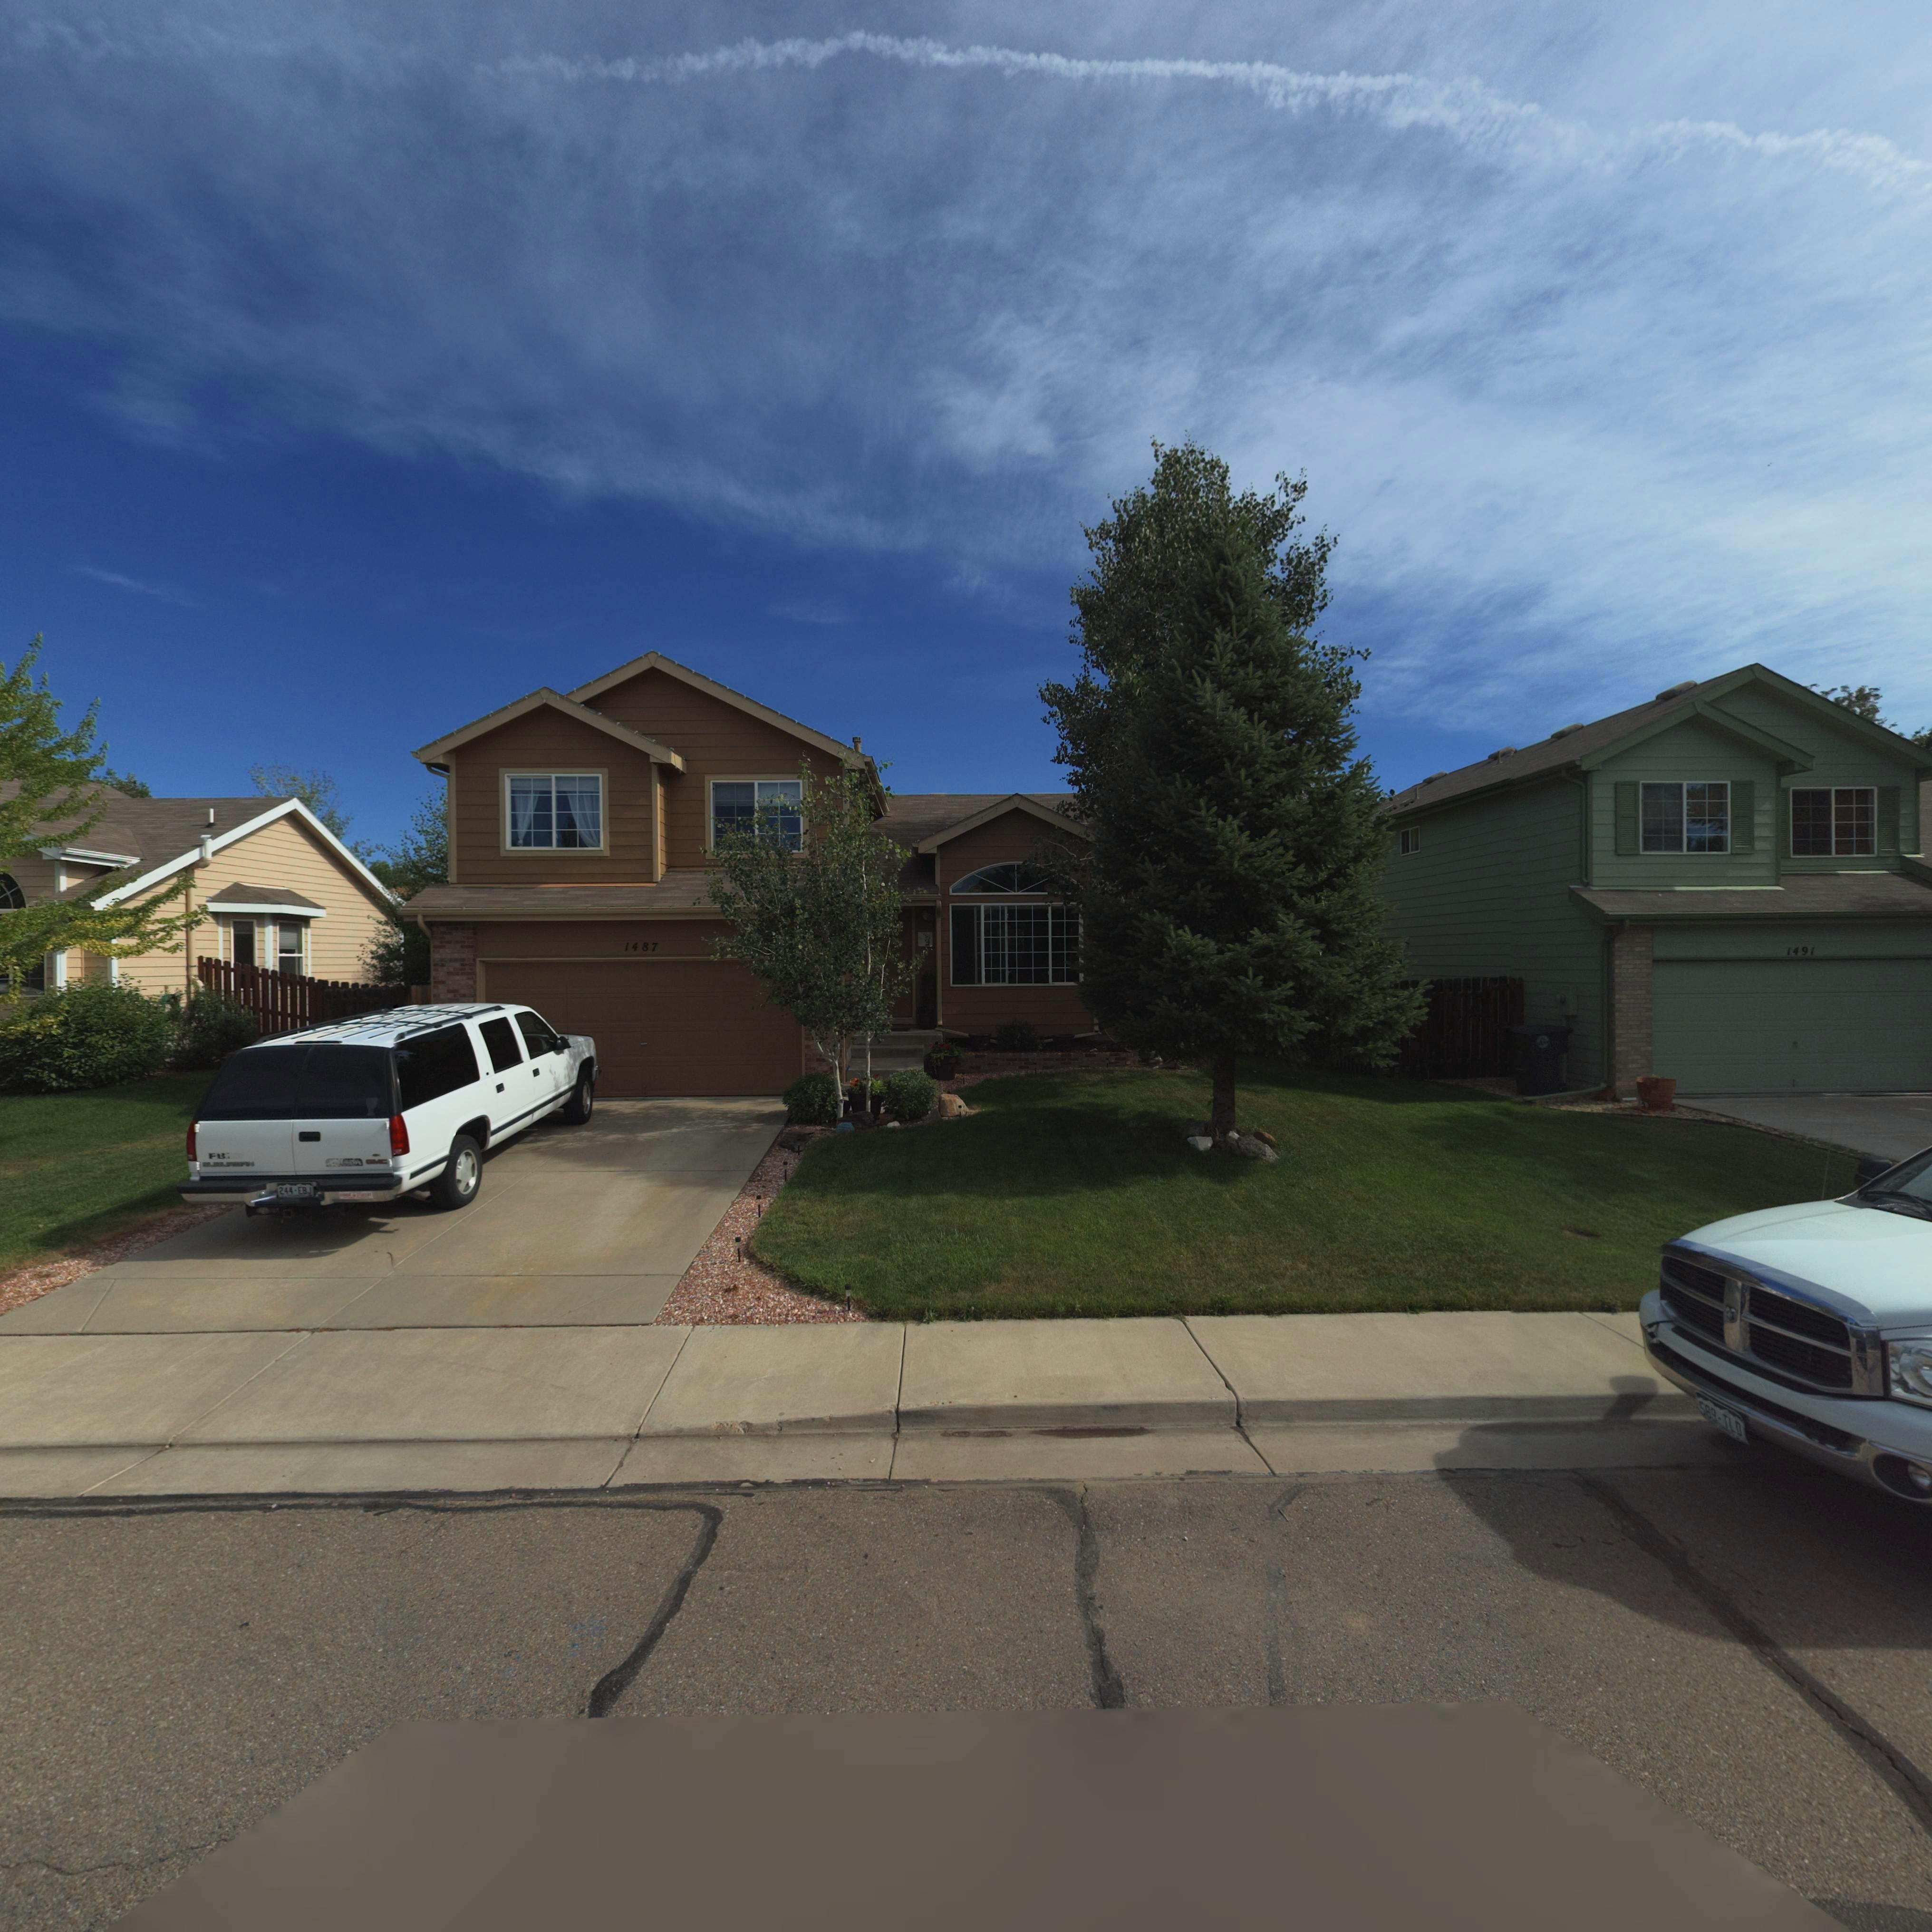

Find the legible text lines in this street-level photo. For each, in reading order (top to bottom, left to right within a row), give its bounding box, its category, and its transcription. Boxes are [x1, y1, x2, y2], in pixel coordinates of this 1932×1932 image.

[624, 941, 658, 952] StreetNumber: 1487
[1785, 945, 1816, 956] StreetNumber: 1491